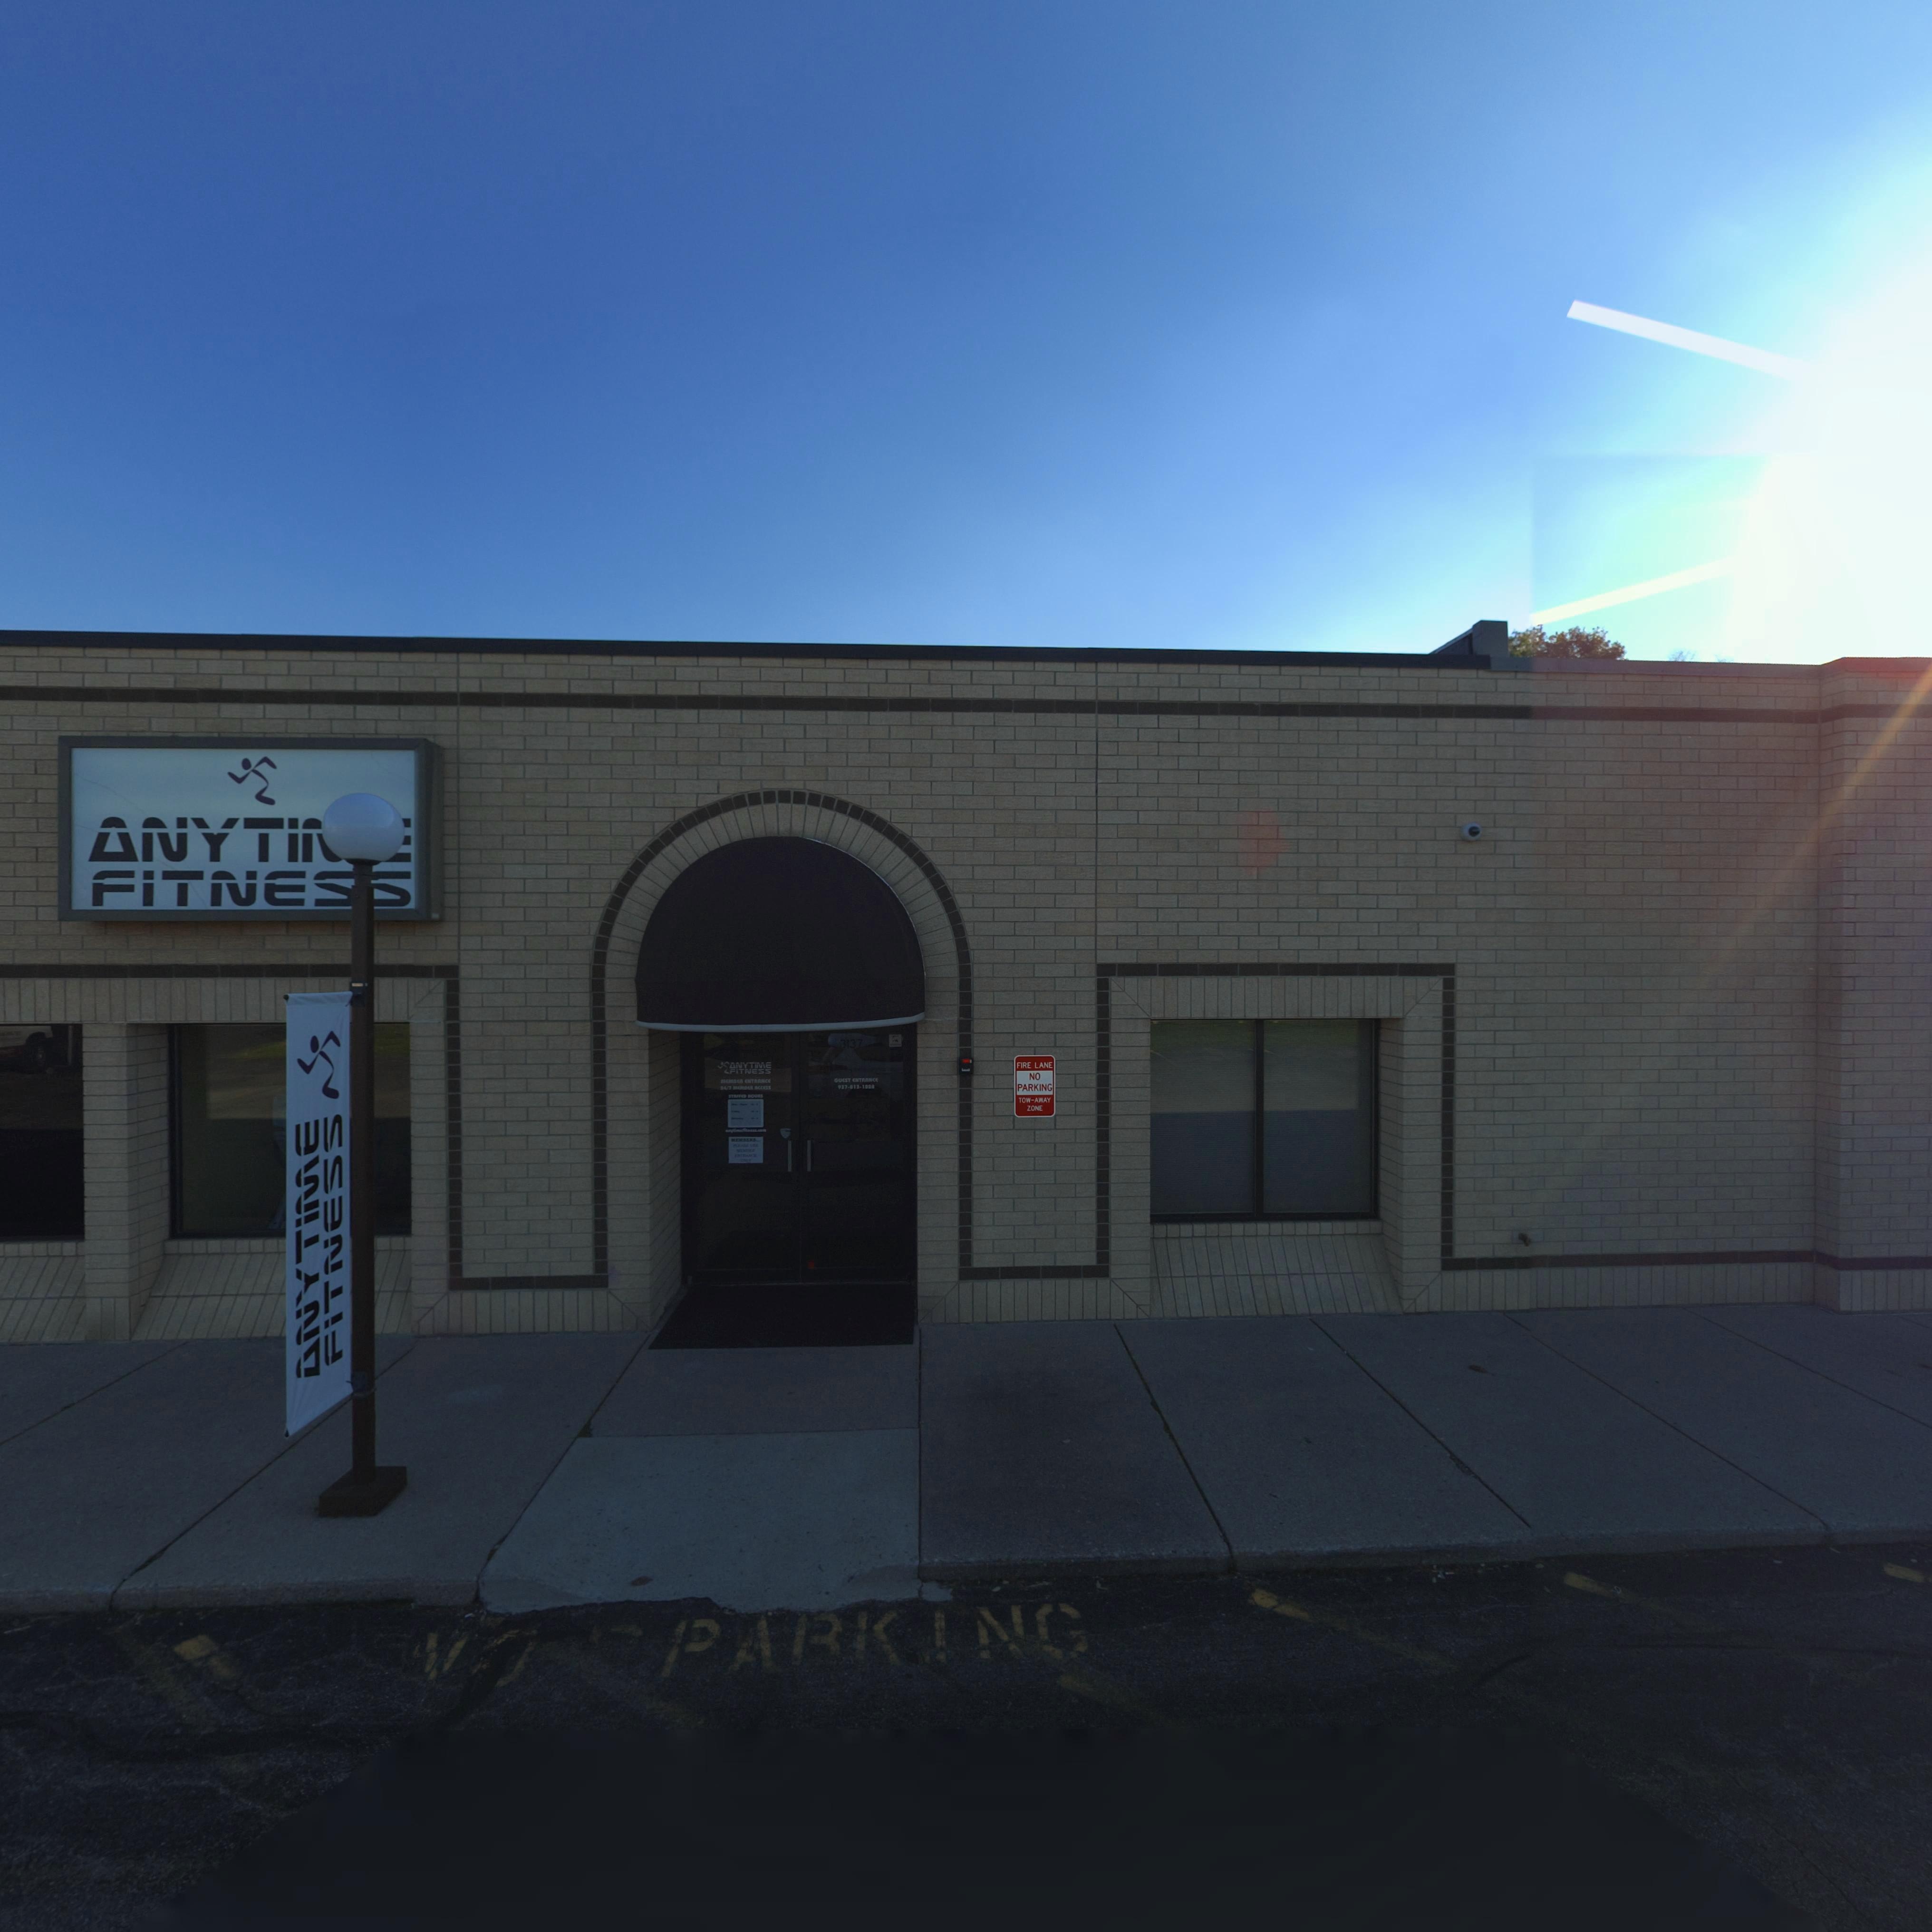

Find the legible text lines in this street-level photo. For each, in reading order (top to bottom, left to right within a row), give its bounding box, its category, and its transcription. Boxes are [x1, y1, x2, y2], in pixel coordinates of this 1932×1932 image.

[83, 813, 302, 865] BusinessName: ANYTI
[89, 868, 414, 908] BusinessName: FITNESS
[838, 1039, 864, 1049] StreetNumber: 3137
[728, 1061, 772, 1069] BusinessName: ANYTIME
[729, 1069, 772, 1074] BusinessName: FITNESS
[291, 1116, 322, 1382] BusinessName: ANYTIME
[321, 1111, 345, 1370] BusinessName: FITNESS